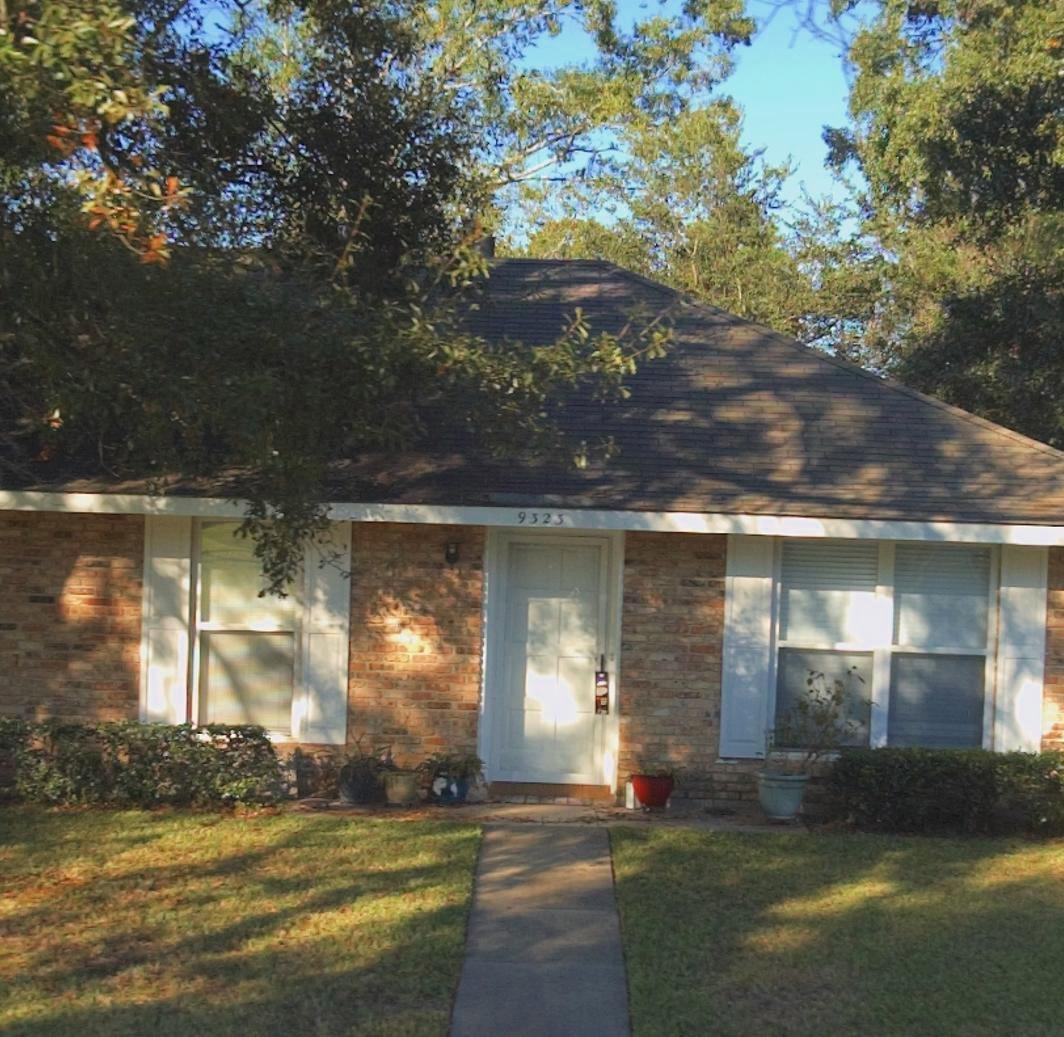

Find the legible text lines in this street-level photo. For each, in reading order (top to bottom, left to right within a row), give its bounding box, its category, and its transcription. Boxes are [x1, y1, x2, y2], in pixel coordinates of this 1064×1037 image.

[516, 511, 564, 526] StreetNumber: 9325